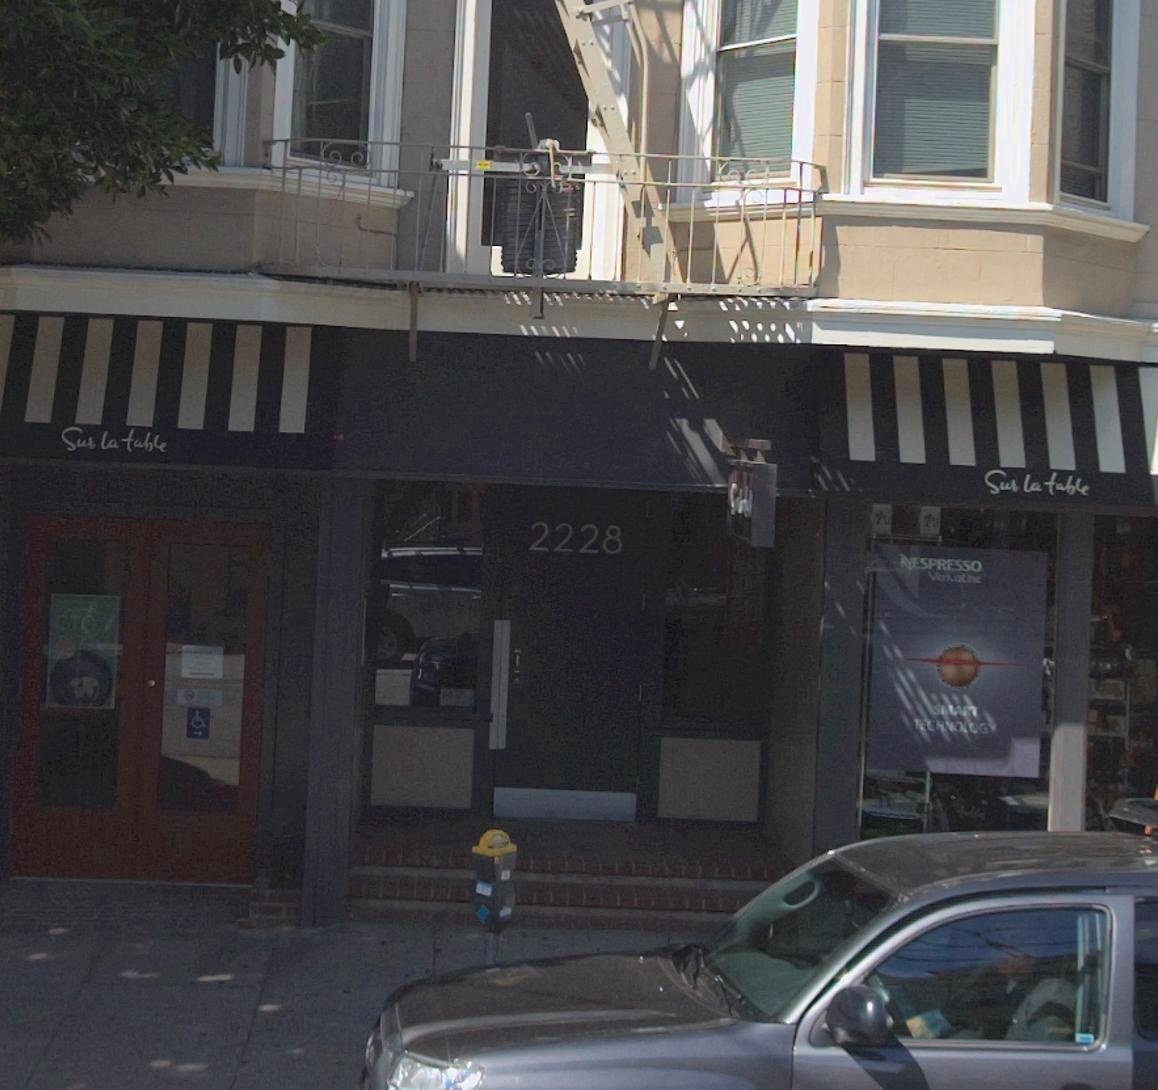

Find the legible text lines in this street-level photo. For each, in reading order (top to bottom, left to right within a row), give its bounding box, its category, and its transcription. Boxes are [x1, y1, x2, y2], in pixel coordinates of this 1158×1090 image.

[60, 425, 168, 454] BusinessName: Sur la table
[983, 469, 1091, 497] BusinessName: Sur la table
[528, 519, 624, 556] StreetNumber: 2228
[898, 553, 983, 572] None: NESPRESSO
[961, 571, 982, 584] None: Line
[932, 704, 980, 718] None: SMART
[913, 718, 999, 735] None: TECHNOLOGY